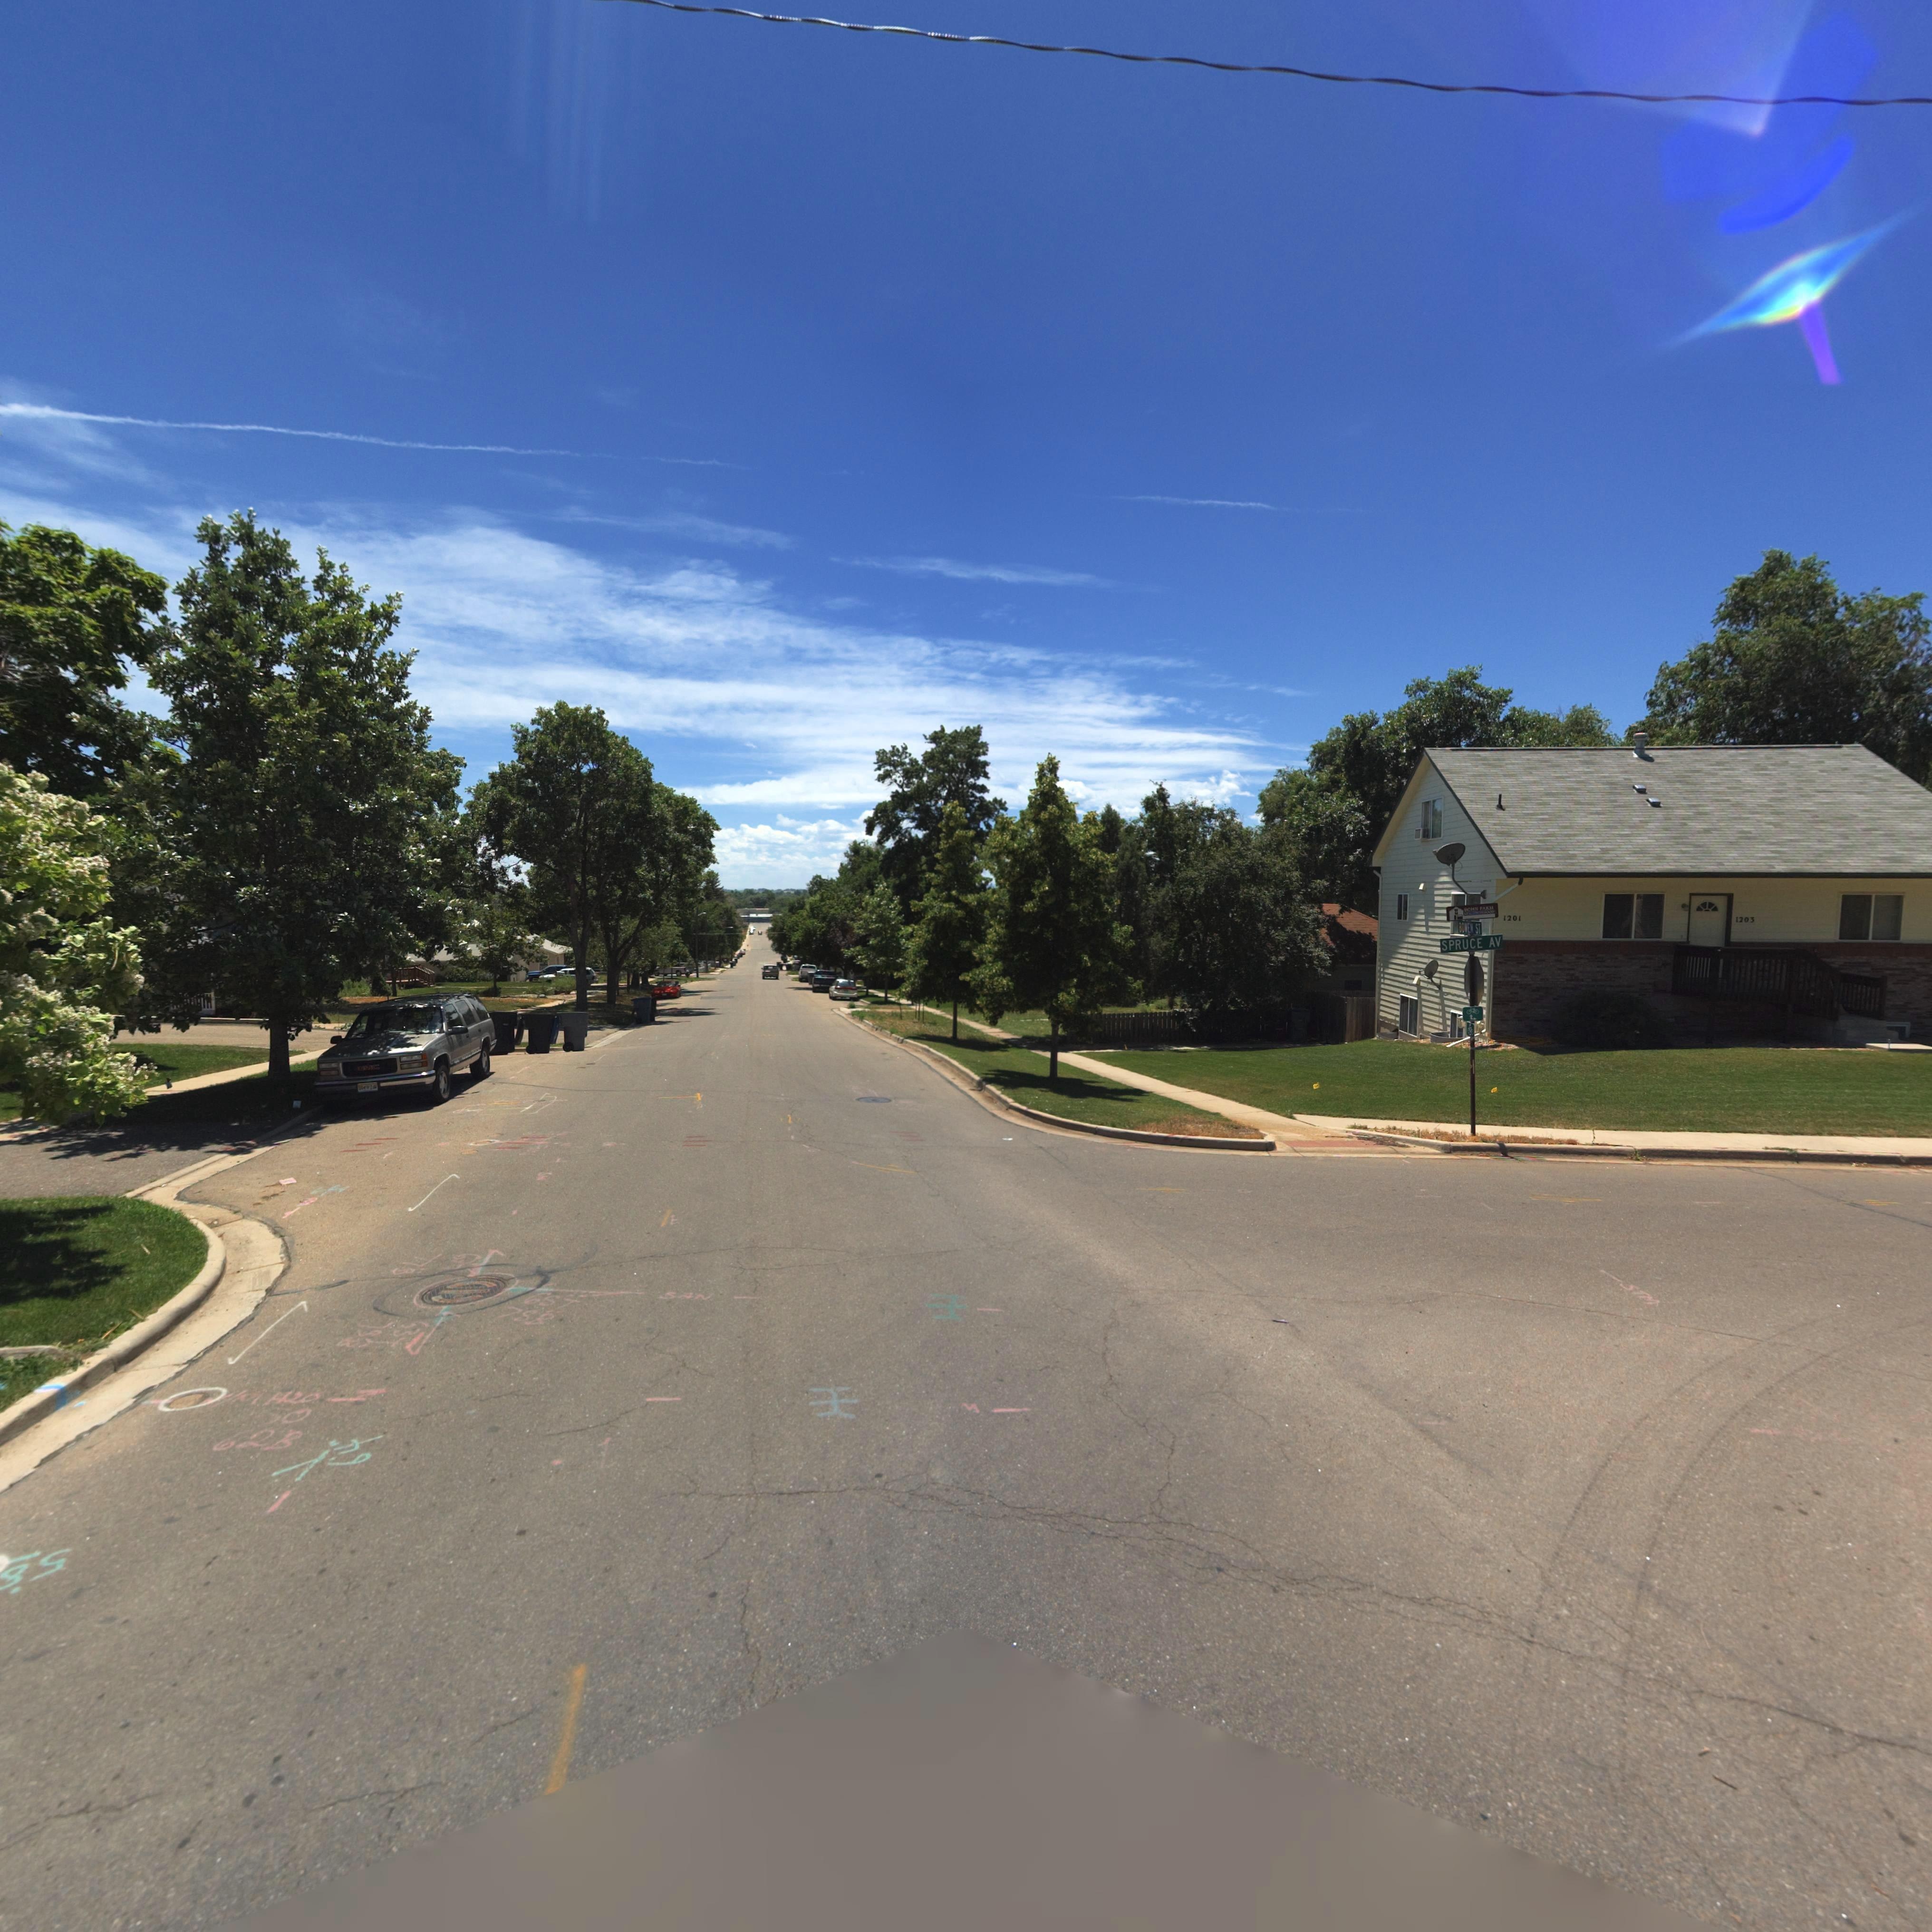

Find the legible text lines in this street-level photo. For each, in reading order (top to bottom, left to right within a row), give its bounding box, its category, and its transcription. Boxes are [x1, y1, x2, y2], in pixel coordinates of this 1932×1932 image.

[1504, 915, 1521, 922] StreetNumber: 1201
[1736, 917, 1755, 923] StreetNumber: 1203
[1459, 922, 1480, 934] StreetName: BOWEN ST
[1441, 936, 1501, 951] StreetName: SPRUCE AV